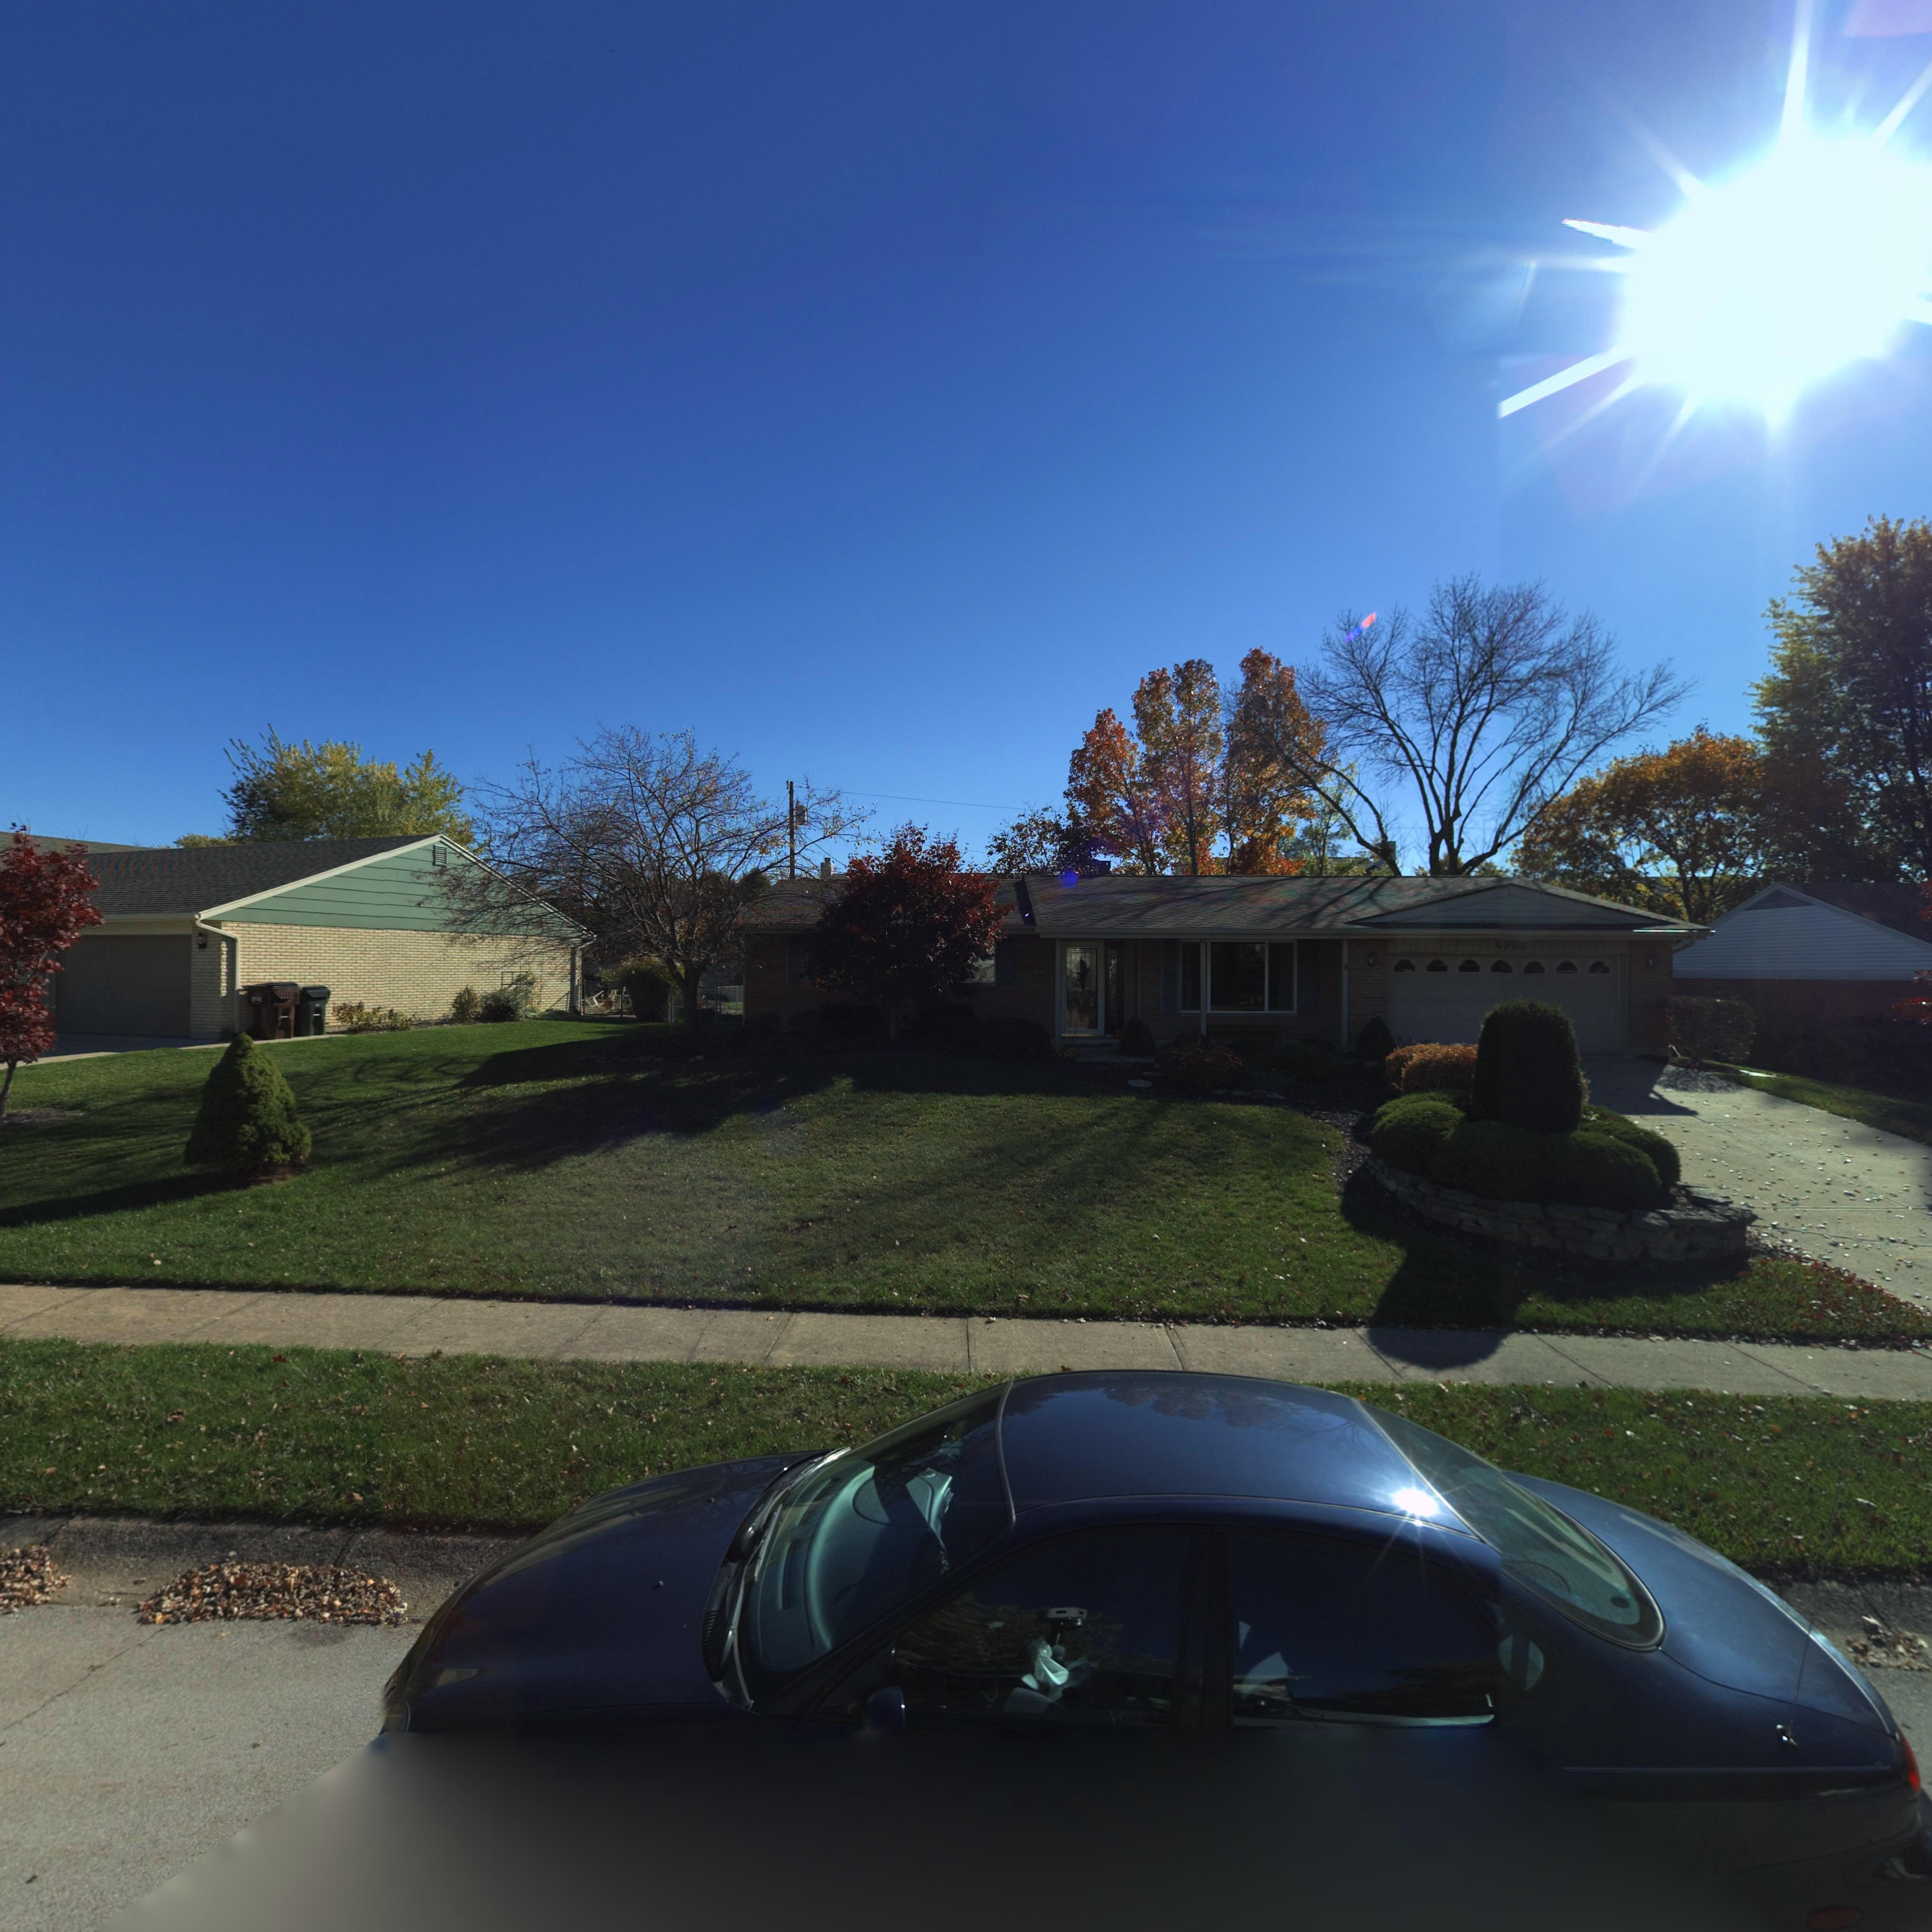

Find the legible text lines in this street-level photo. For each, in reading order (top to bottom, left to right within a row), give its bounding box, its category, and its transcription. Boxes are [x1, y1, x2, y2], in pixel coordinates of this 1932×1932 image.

[1494, 940, 1528, 951] StreetNumber: 4250